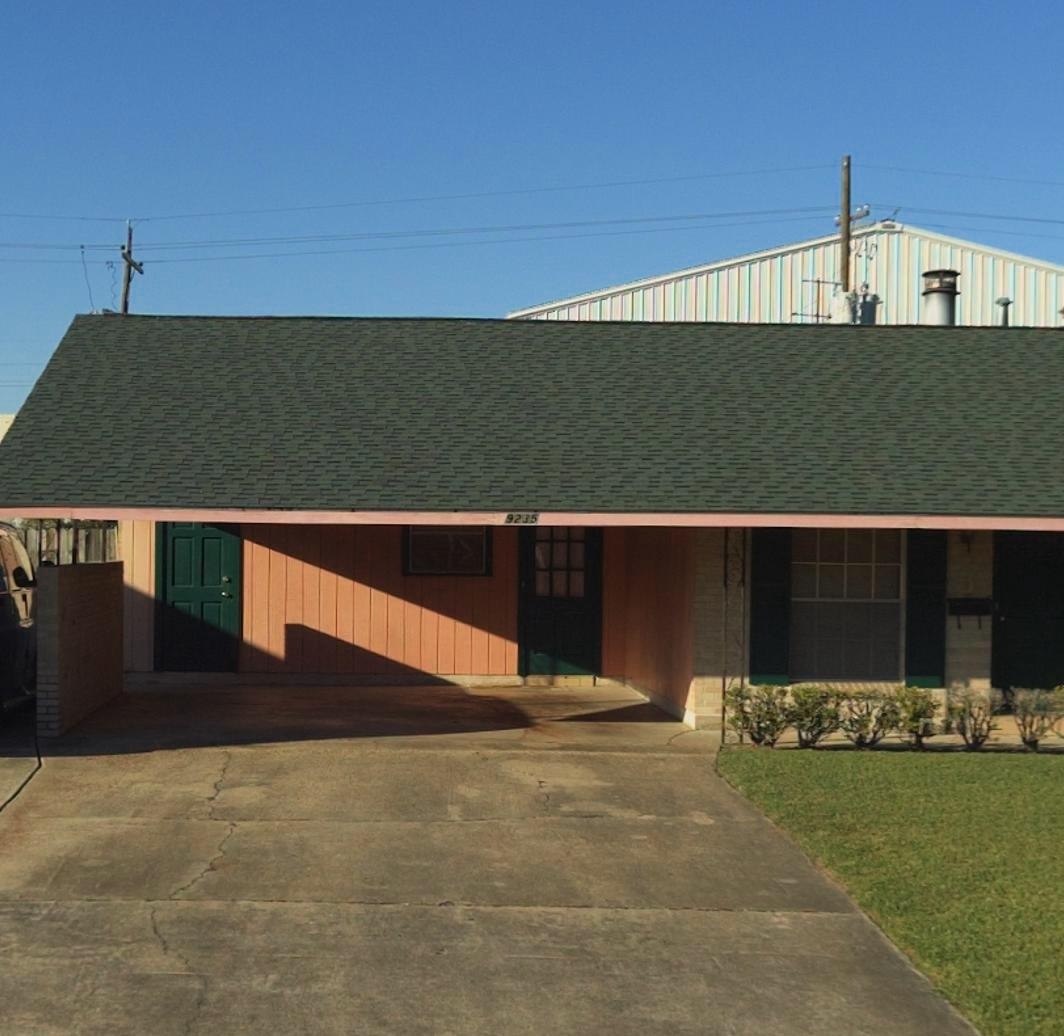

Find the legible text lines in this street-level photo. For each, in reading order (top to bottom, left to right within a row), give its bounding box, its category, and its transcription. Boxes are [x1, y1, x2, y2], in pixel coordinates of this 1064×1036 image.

[505, 513, 539, 524] StreetNumber: 9235